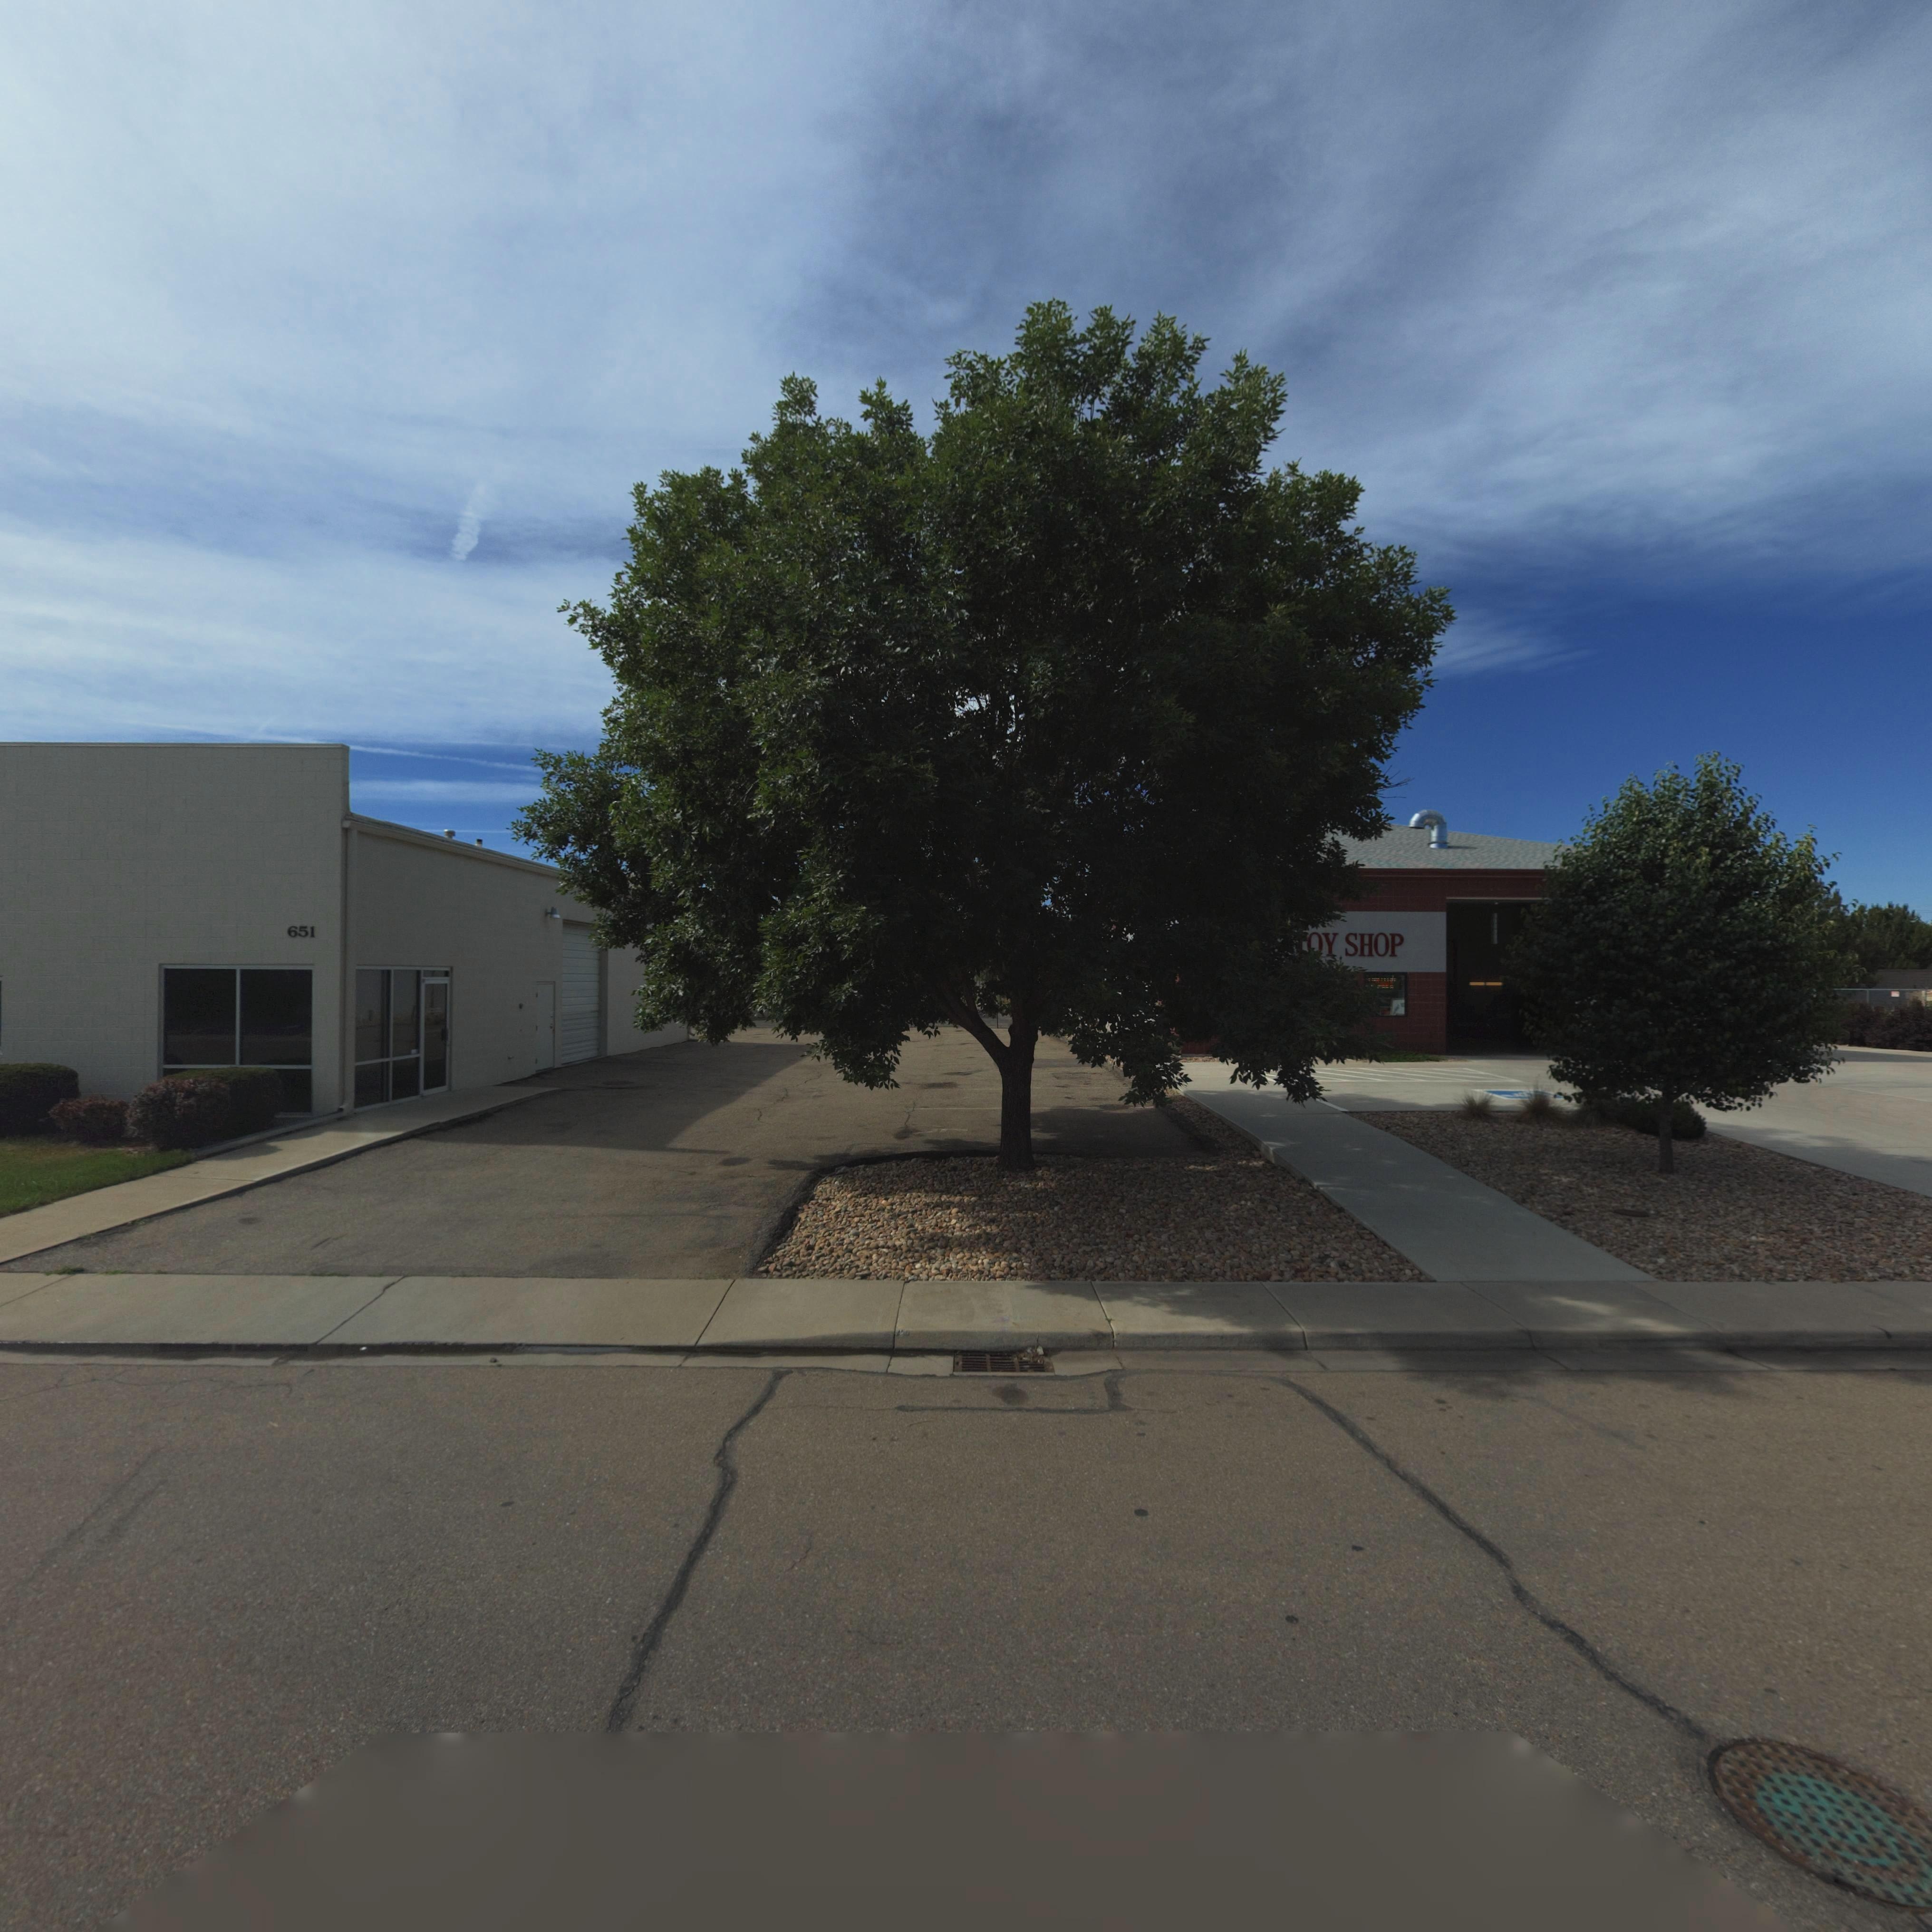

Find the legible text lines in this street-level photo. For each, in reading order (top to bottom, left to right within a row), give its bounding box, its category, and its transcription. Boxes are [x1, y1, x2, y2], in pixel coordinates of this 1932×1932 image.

[288, 925, 315, 937] StreetNumber: 651
[1306, 931, 1404, 957] BusinessName: OY SHOP